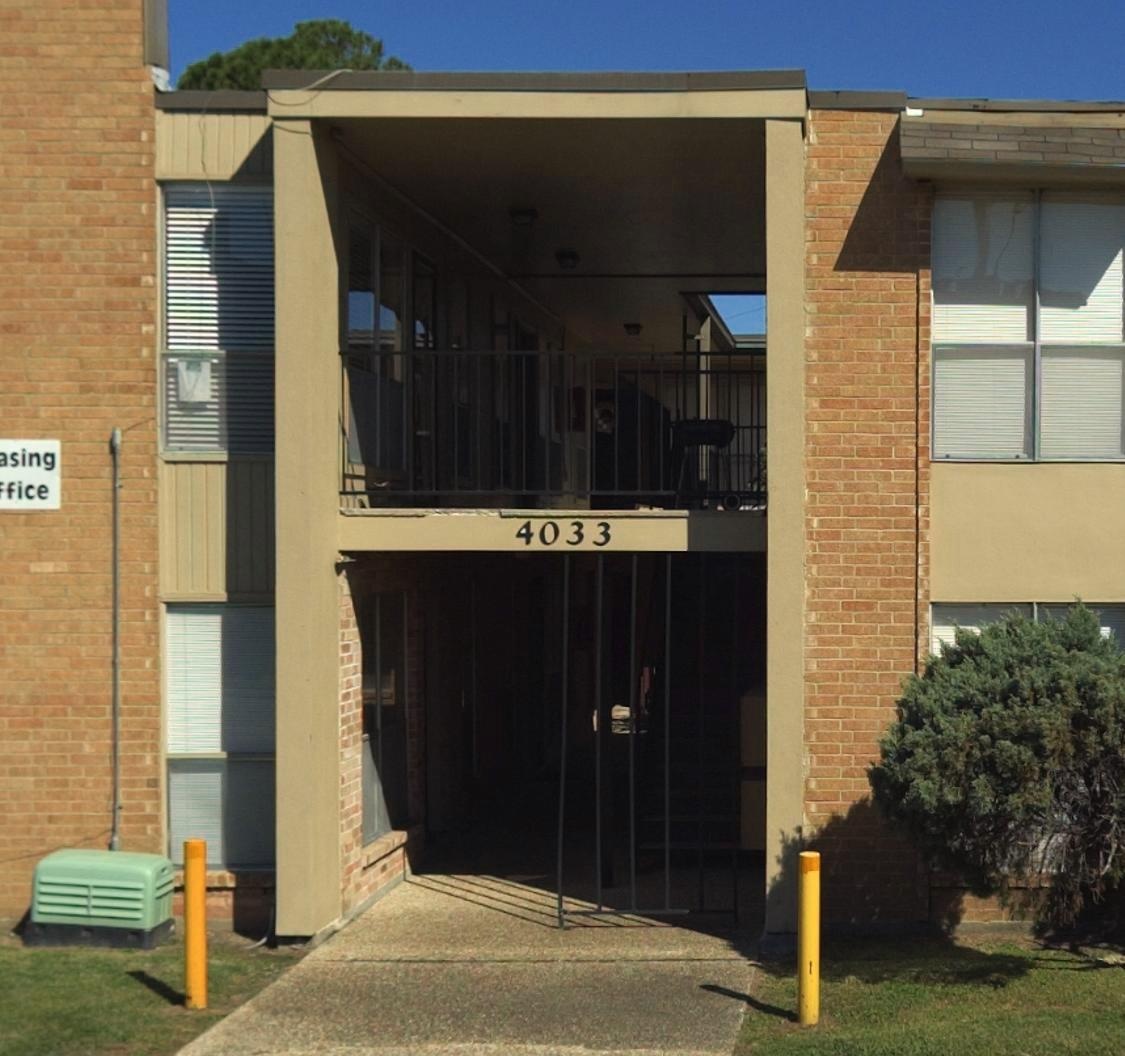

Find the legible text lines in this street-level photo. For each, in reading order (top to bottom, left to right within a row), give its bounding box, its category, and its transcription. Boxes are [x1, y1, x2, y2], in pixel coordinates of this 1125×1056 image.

[9, 446, 57, 472] None: sing
[5, 479, 50, 501] None: fice
[515, 520, 611, 546] StreetNumber: 4033